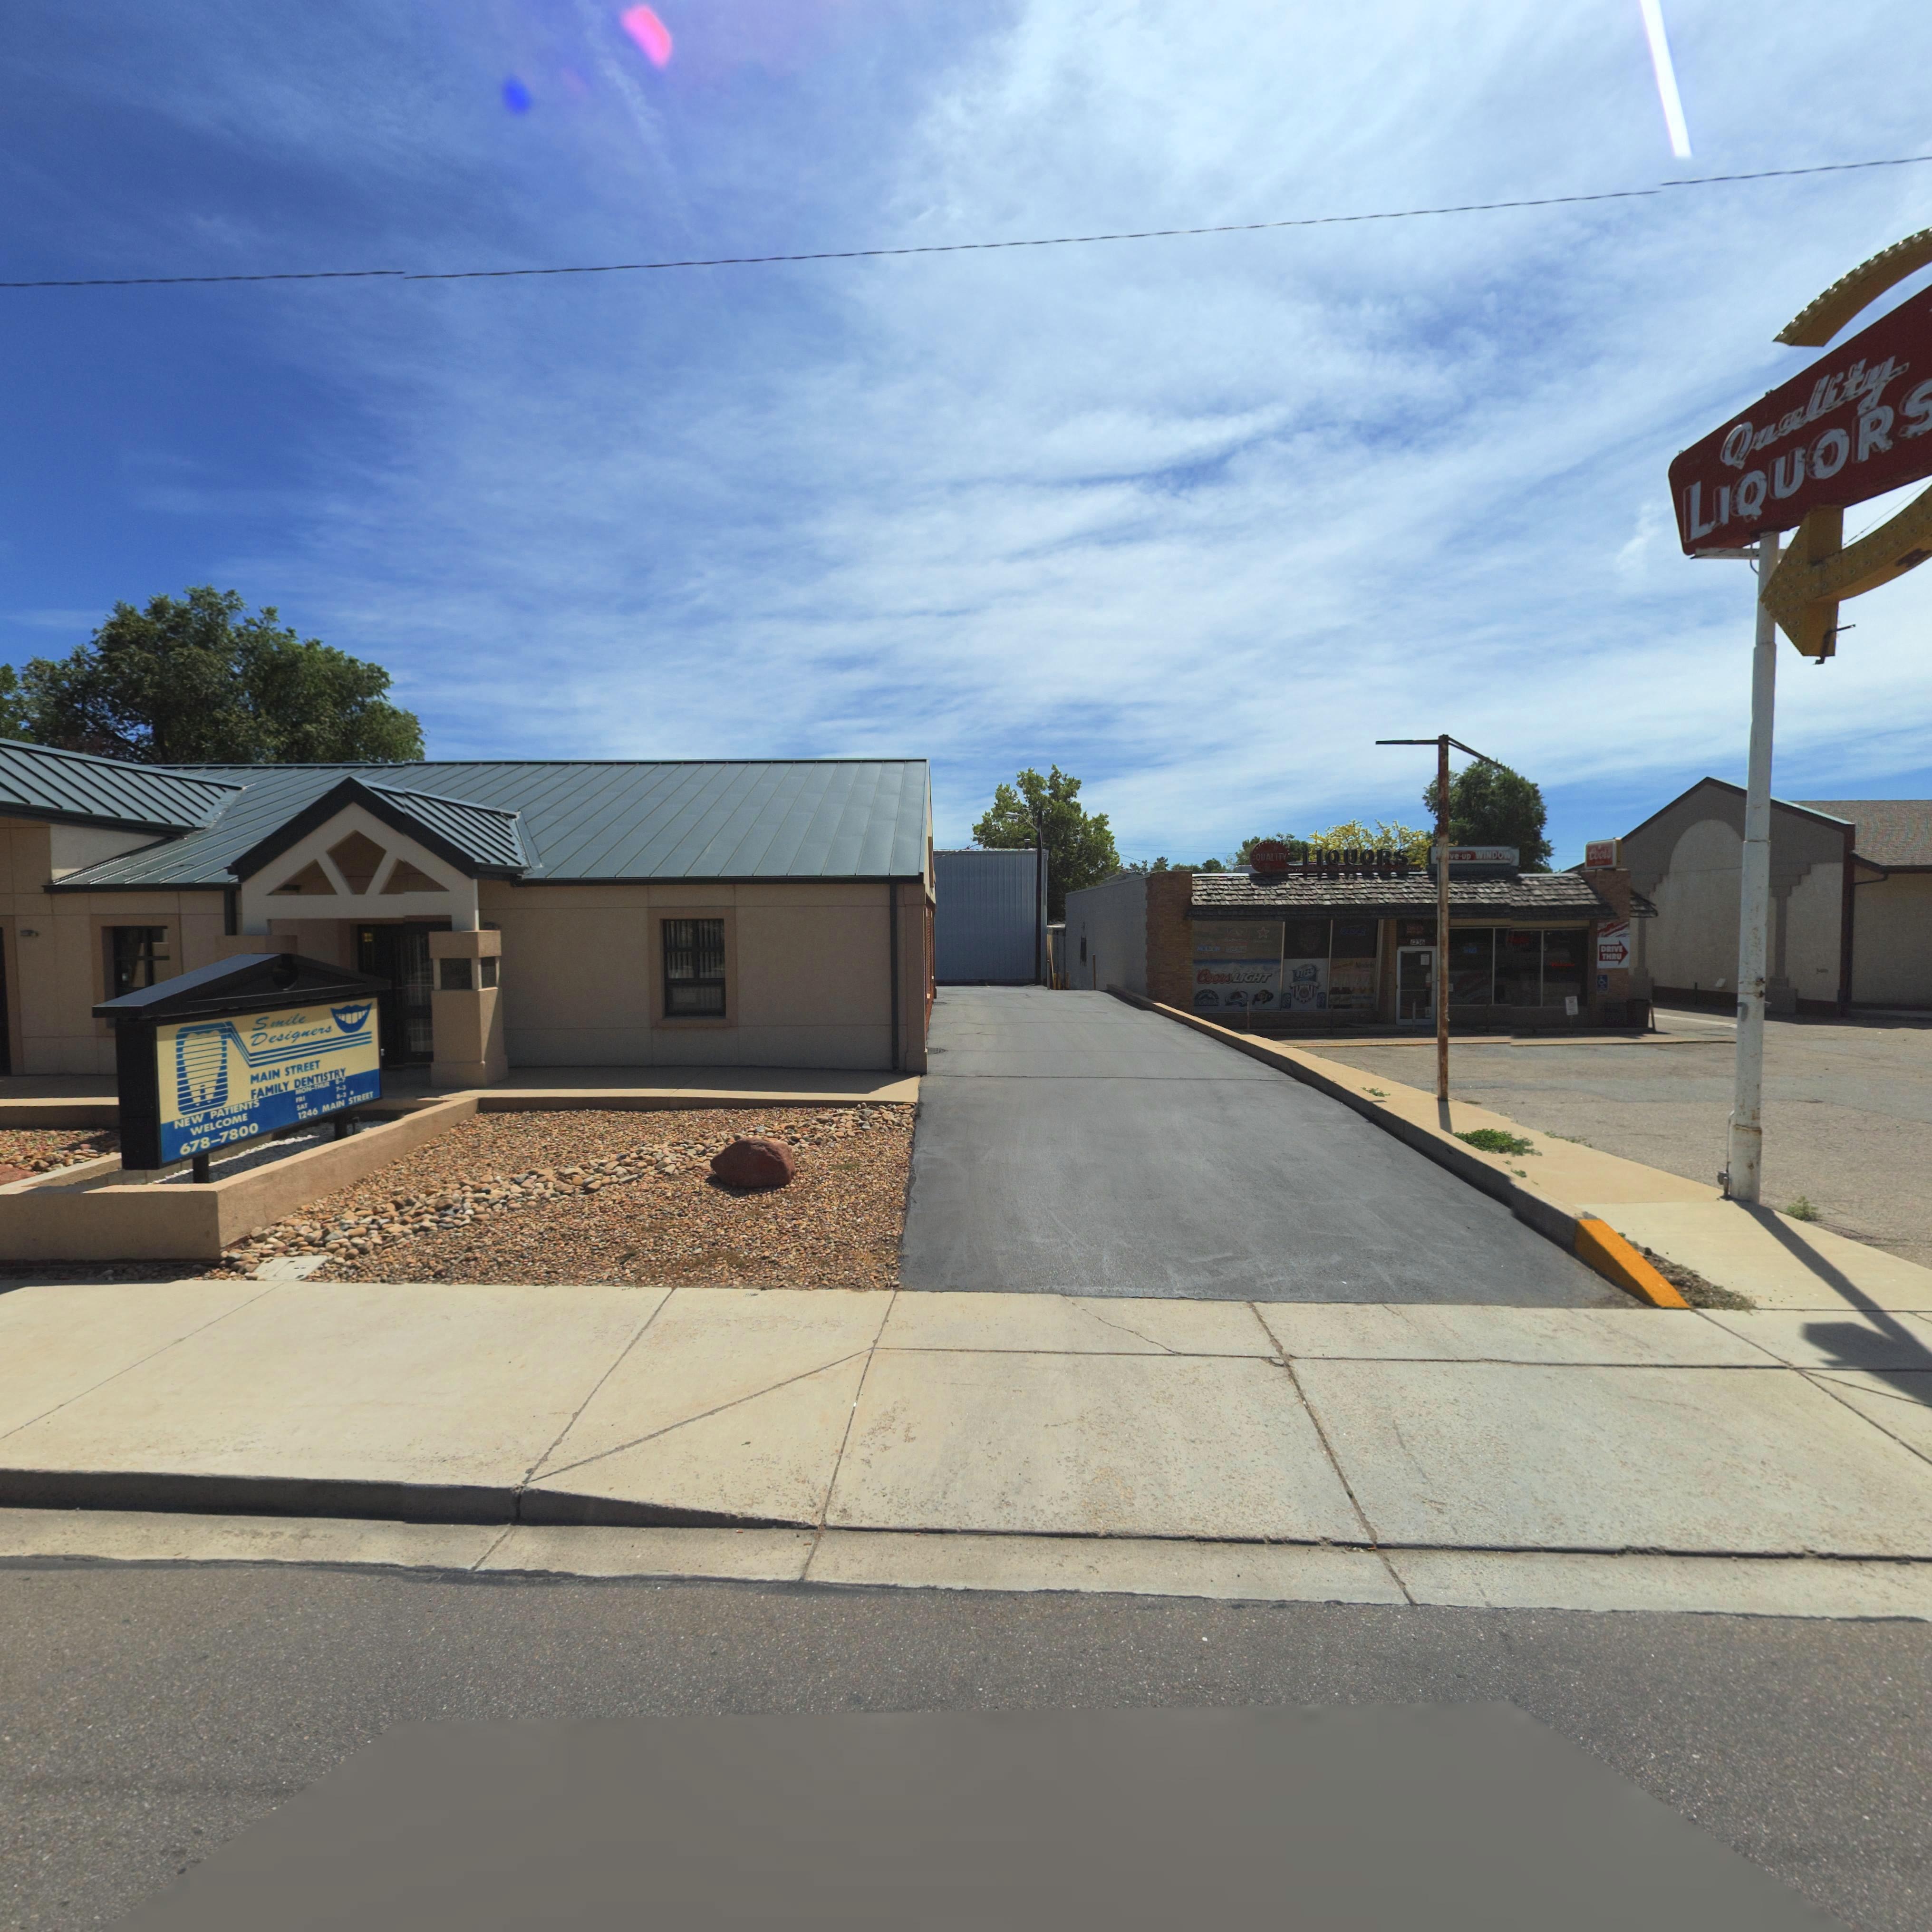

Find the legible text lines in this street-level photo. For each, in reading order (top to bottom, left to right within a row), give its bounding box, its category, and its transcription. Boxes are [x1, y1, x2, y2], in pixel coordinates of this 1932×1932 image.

[1723, 353, 1912, 471] BusinessName: Quality
[1688, 403, 1895, 543] BusinessName: LIQUOR
[1256, 852, 1287, 862] BusinessName: QUALITY
[1303, 848, 1410, 867] BusinessName: LIQUORS
[1410, 939, 1425, 945] StreetNumber: 1236
[251, 1012, 307, 1031] BusinessName: Smile
[250, 1025, 332, 1047] BusinessName: Designers
[322, 1091, 374, 1113] StreetName: MAIN STREET
[297, 1107, 318, 1120] StreetNumber: 1246